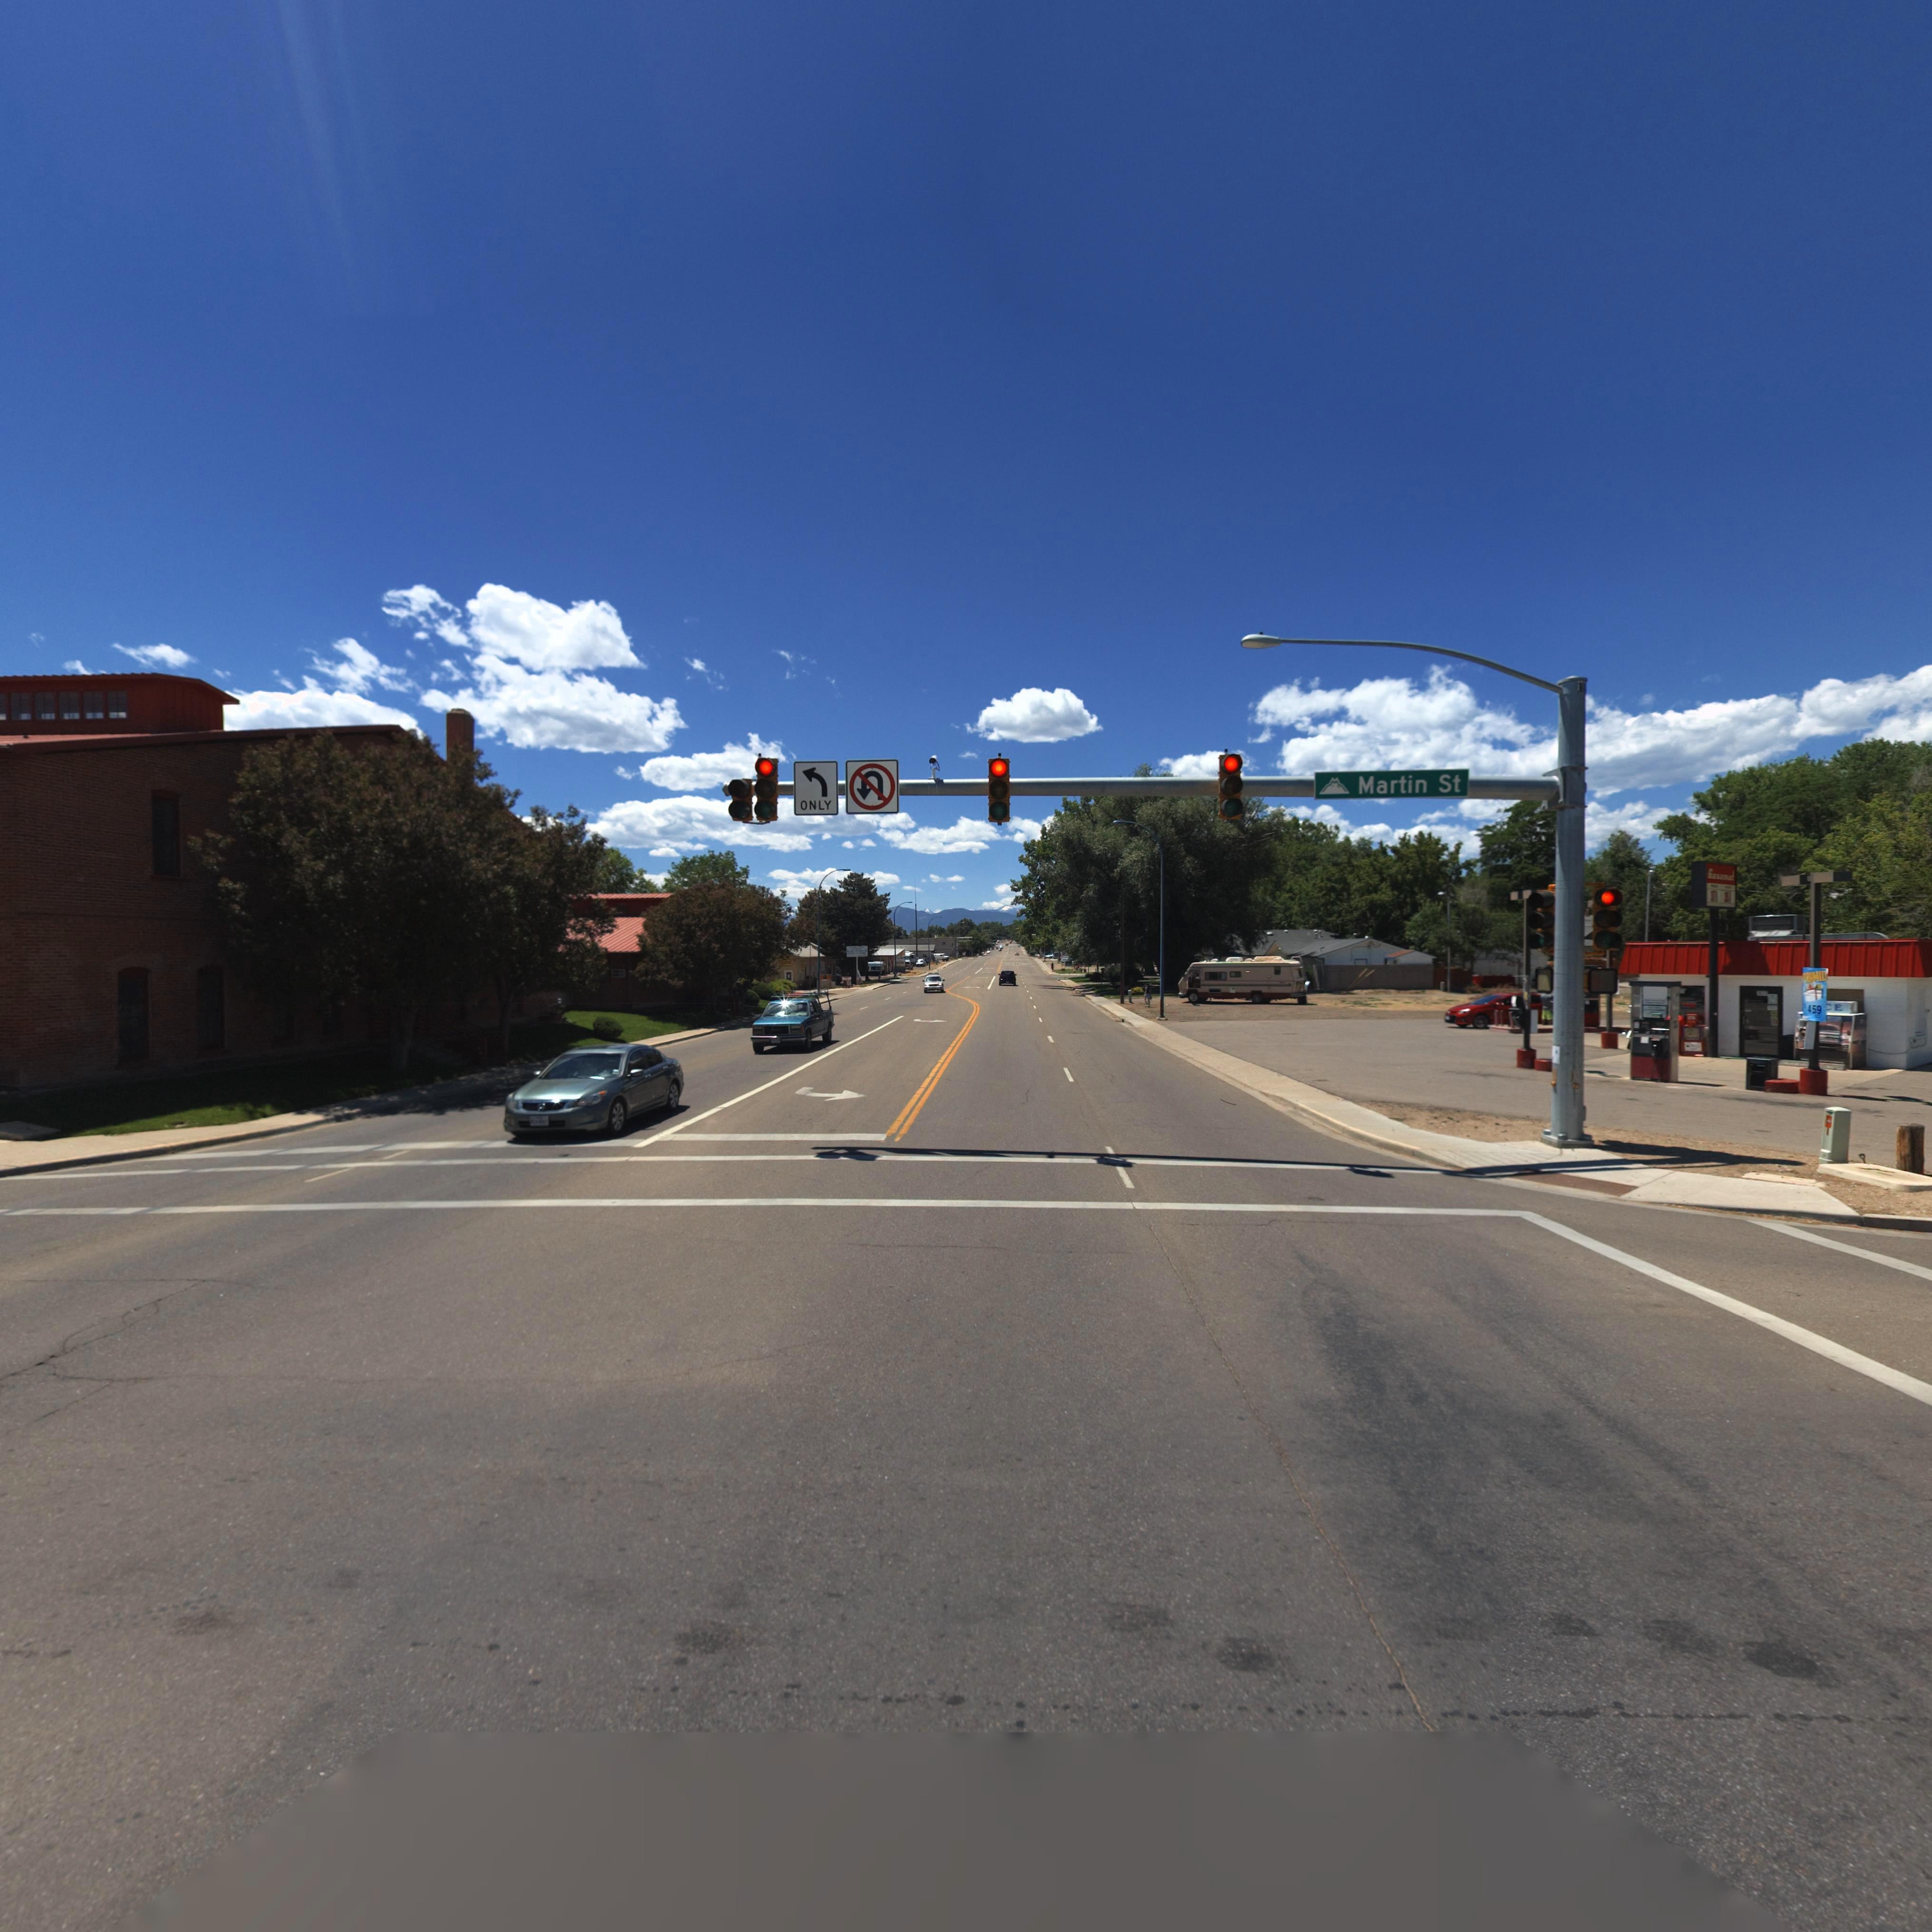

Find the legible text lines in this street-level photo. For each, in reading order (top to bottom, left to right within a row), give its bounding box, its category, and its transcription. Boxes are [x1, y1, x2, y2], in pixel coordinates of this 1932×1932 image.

[1358, 773, 1462, 795] StreetName: Martin St
[1707, 868, 1736, 881] BusinessName: Gasomat
[1756, 991, 1768, 995] StreetNumber: 301